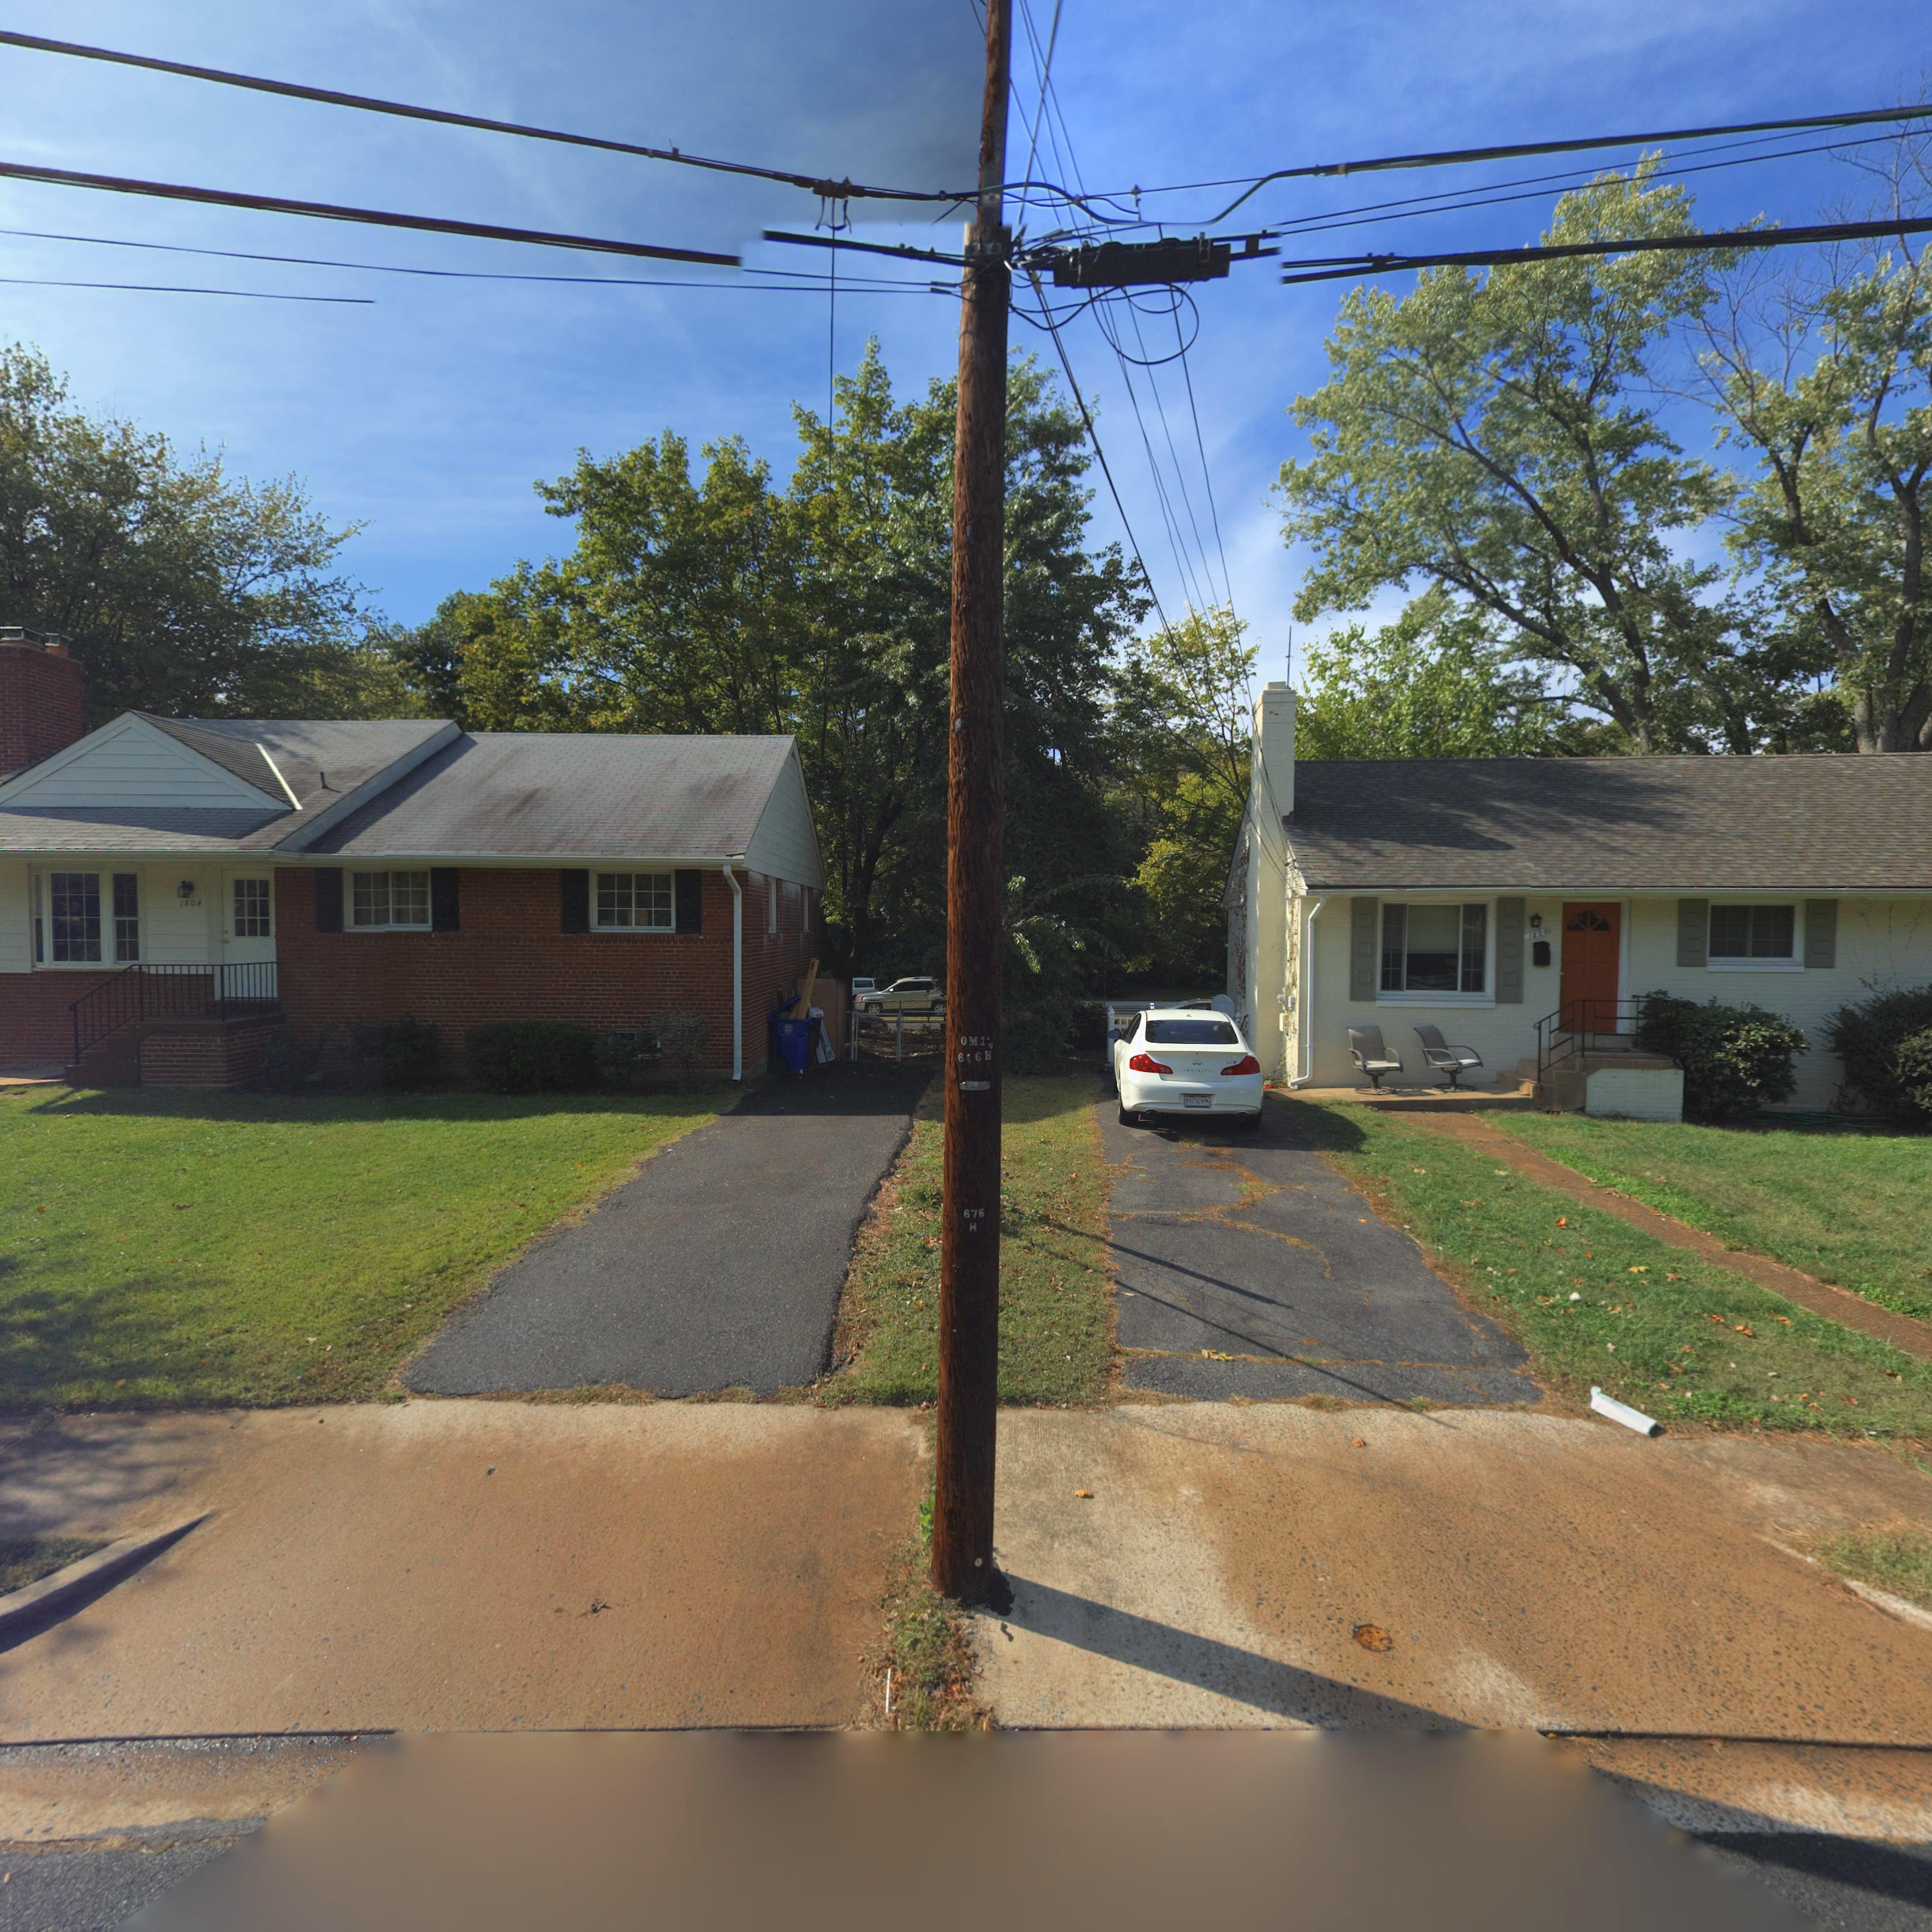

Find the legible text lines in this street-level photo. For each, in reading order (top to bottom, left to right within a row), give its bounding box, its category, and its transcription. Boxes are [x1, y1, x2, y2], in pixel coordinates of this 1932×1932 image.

[179, 899, 203, 908] StreetNumber: 1804
[1527, 926, 1550, 941] StreetNumber: 180*
[959, 1034, 986, 1047] None: OM1
[956, 1048, 994, 1064] None: 6*6H